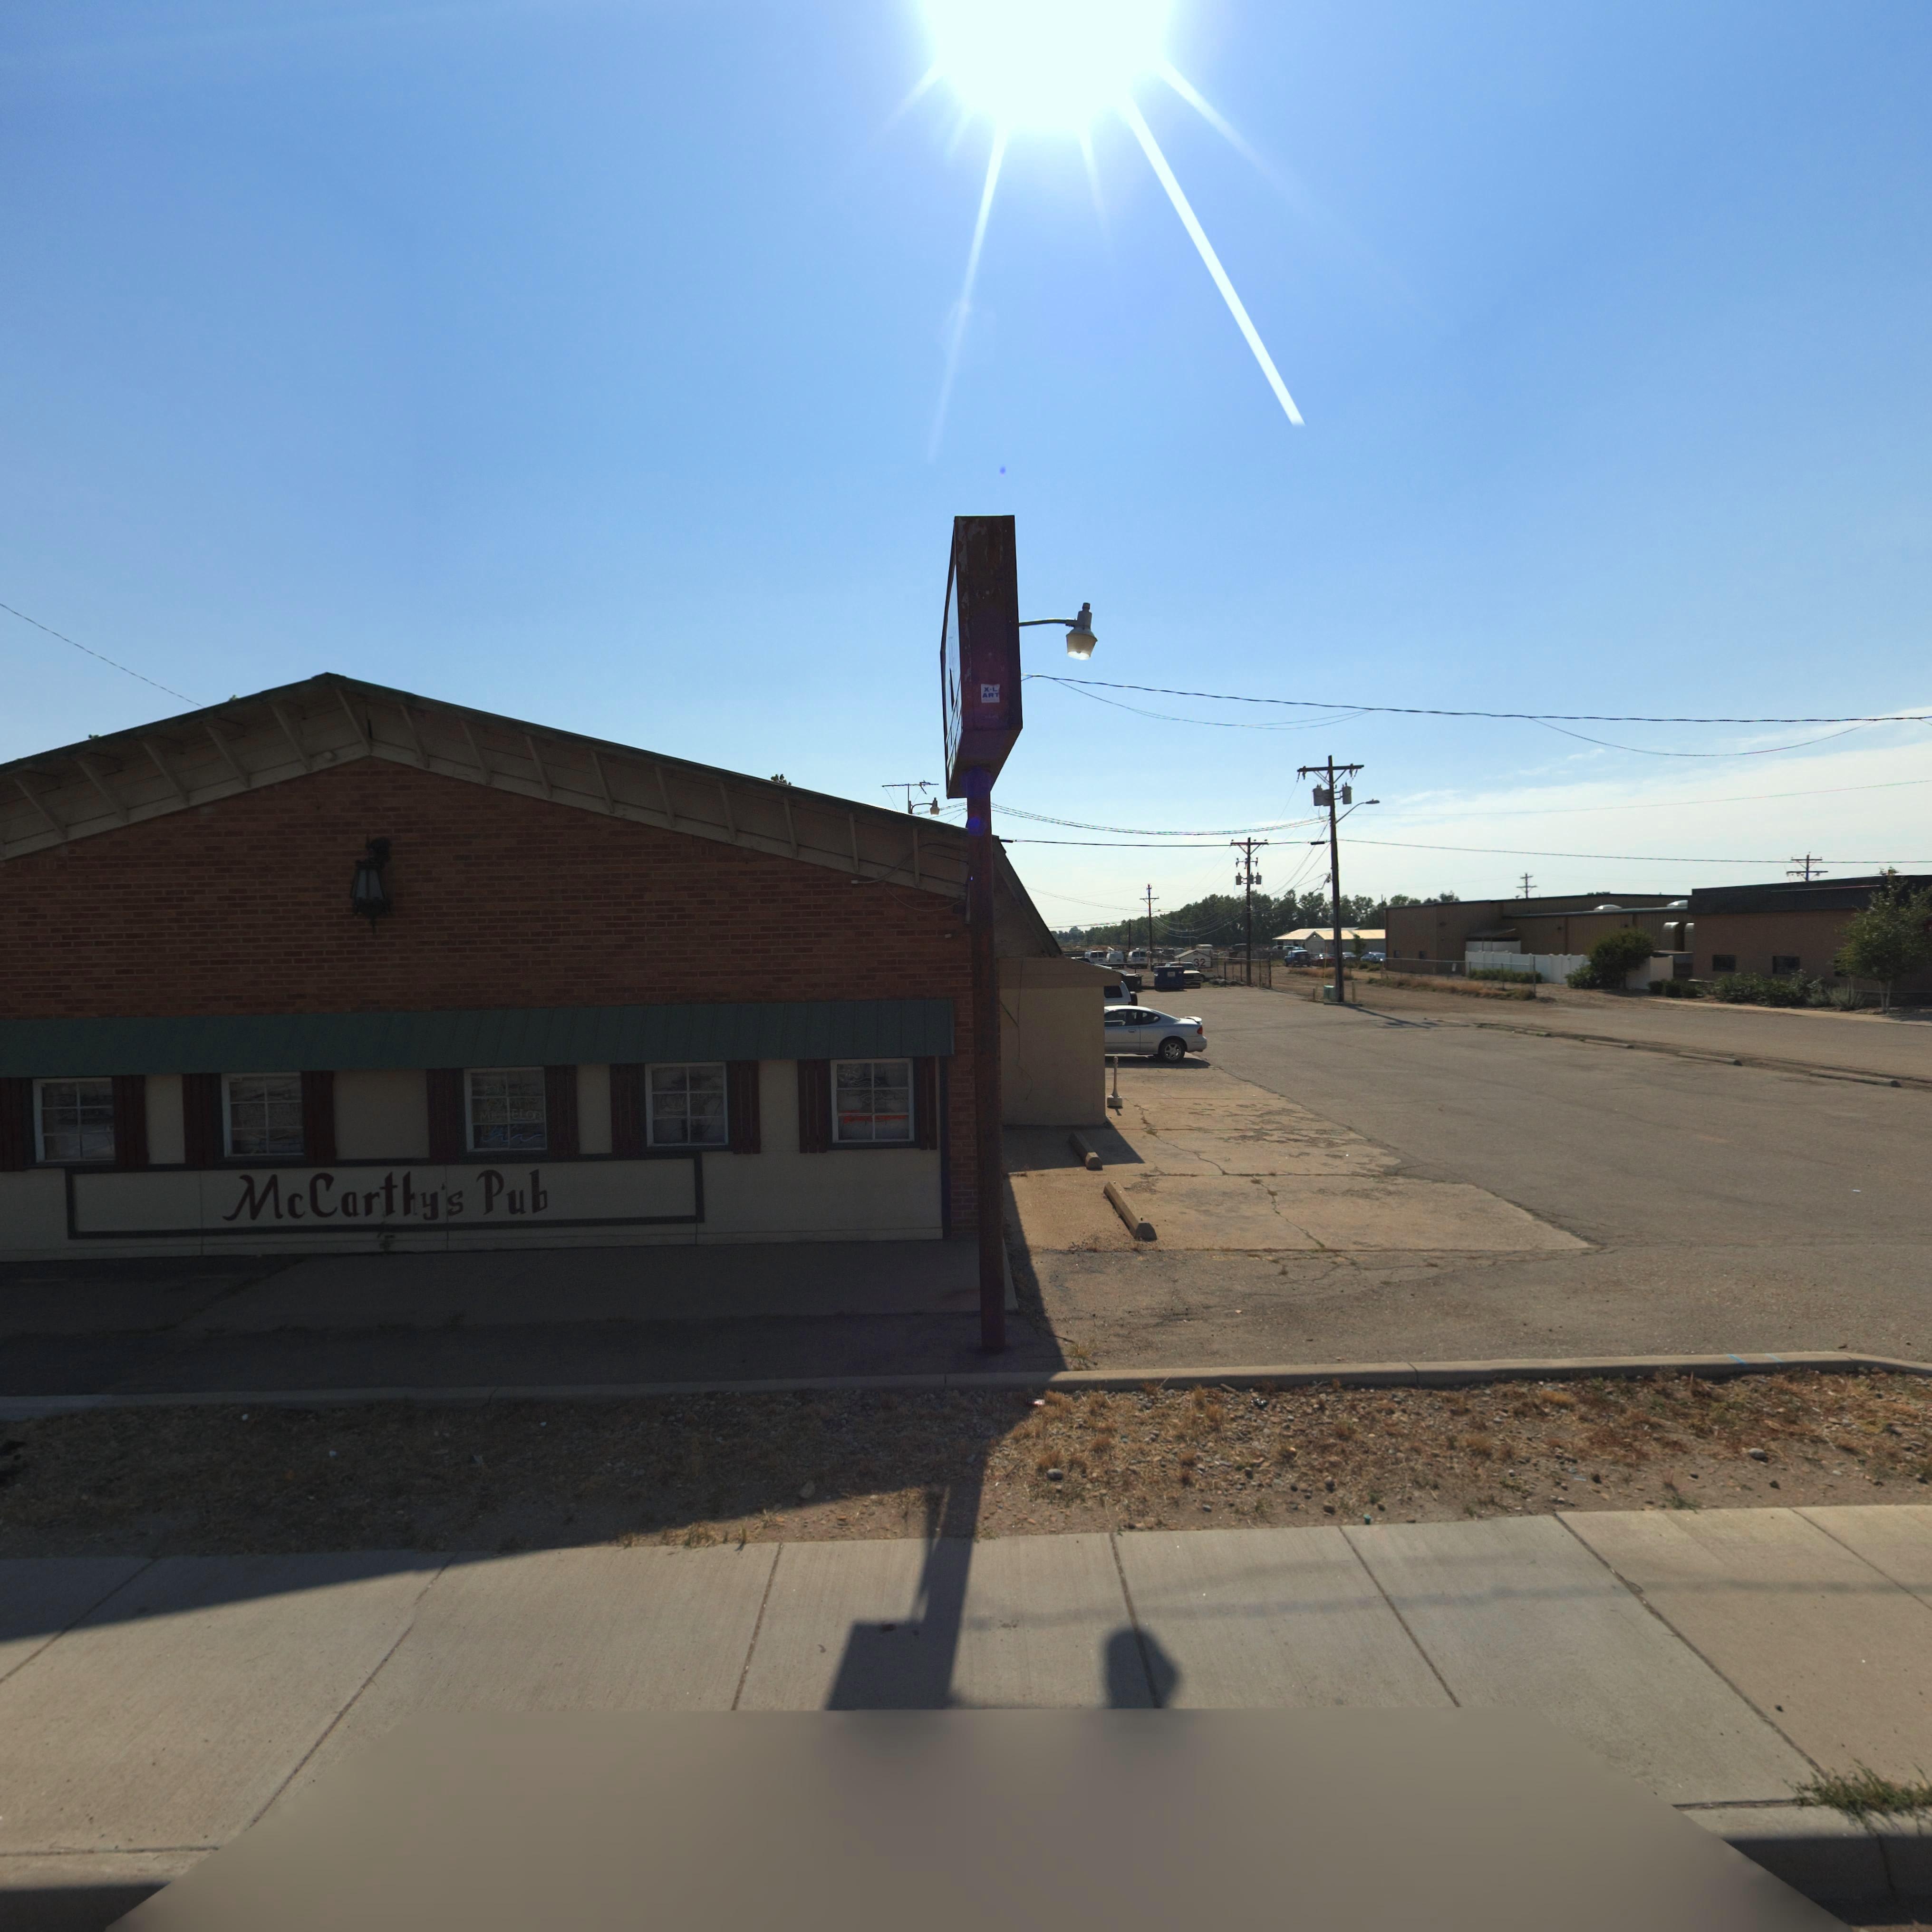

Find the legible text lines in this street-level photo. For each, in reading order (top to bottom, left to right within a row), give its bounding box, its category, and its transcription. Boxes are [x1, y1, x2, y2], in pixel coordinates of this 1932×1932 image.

[221, 1168, 550, 1225] BusinessName: McCarthy's Pub